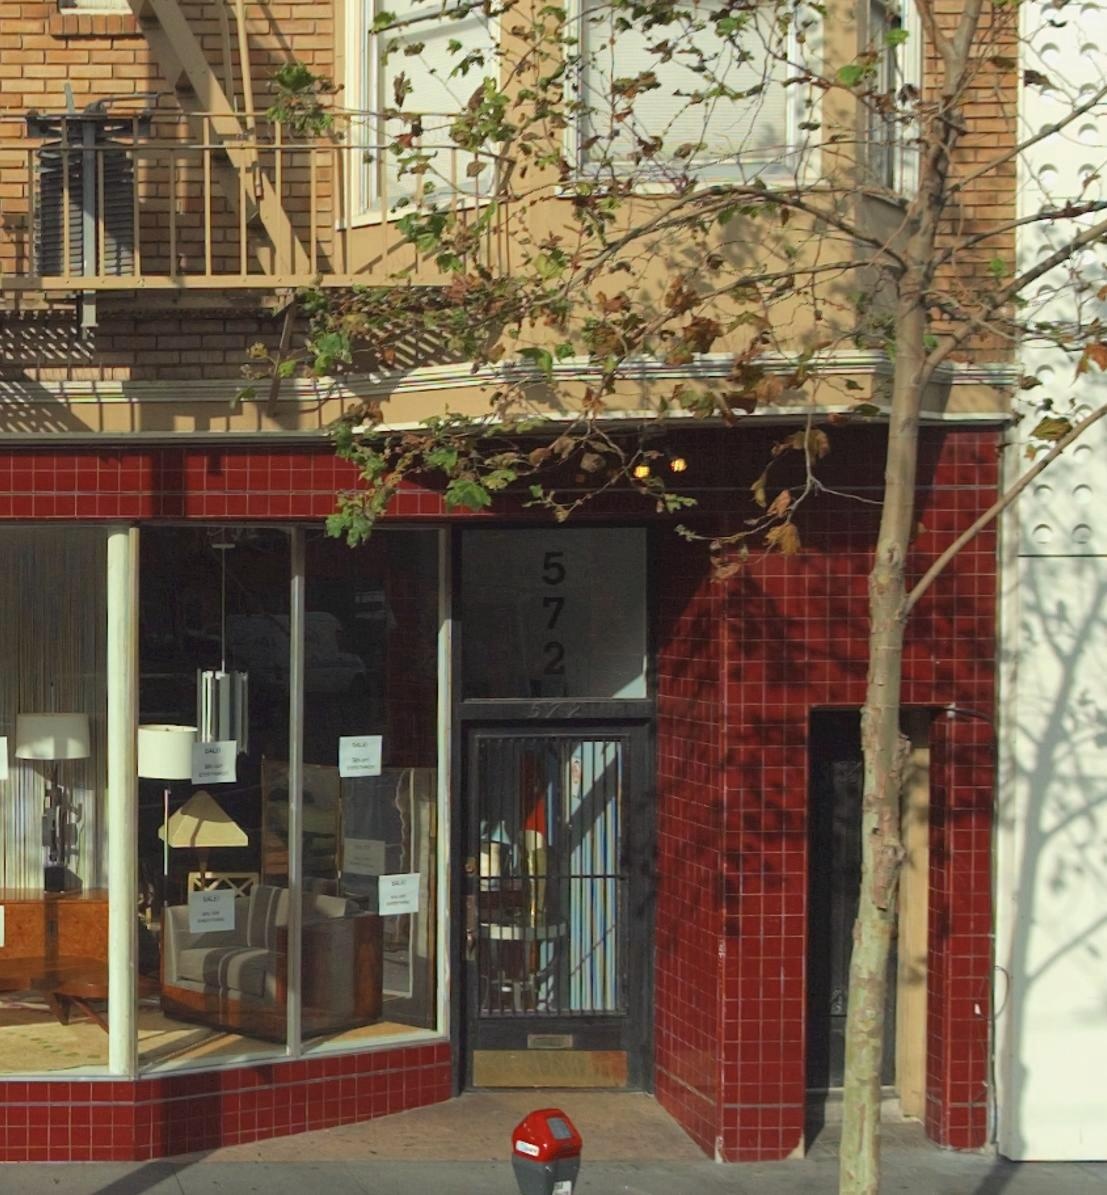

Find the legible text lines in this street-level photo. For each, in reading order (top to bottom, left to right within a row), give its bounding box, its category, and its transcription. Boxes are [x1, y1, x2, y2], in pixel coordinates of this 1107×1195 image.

[542, 549, 566, 676] StreetNumber: 572
[528, 702, 581, 719] StreetNumber: 572